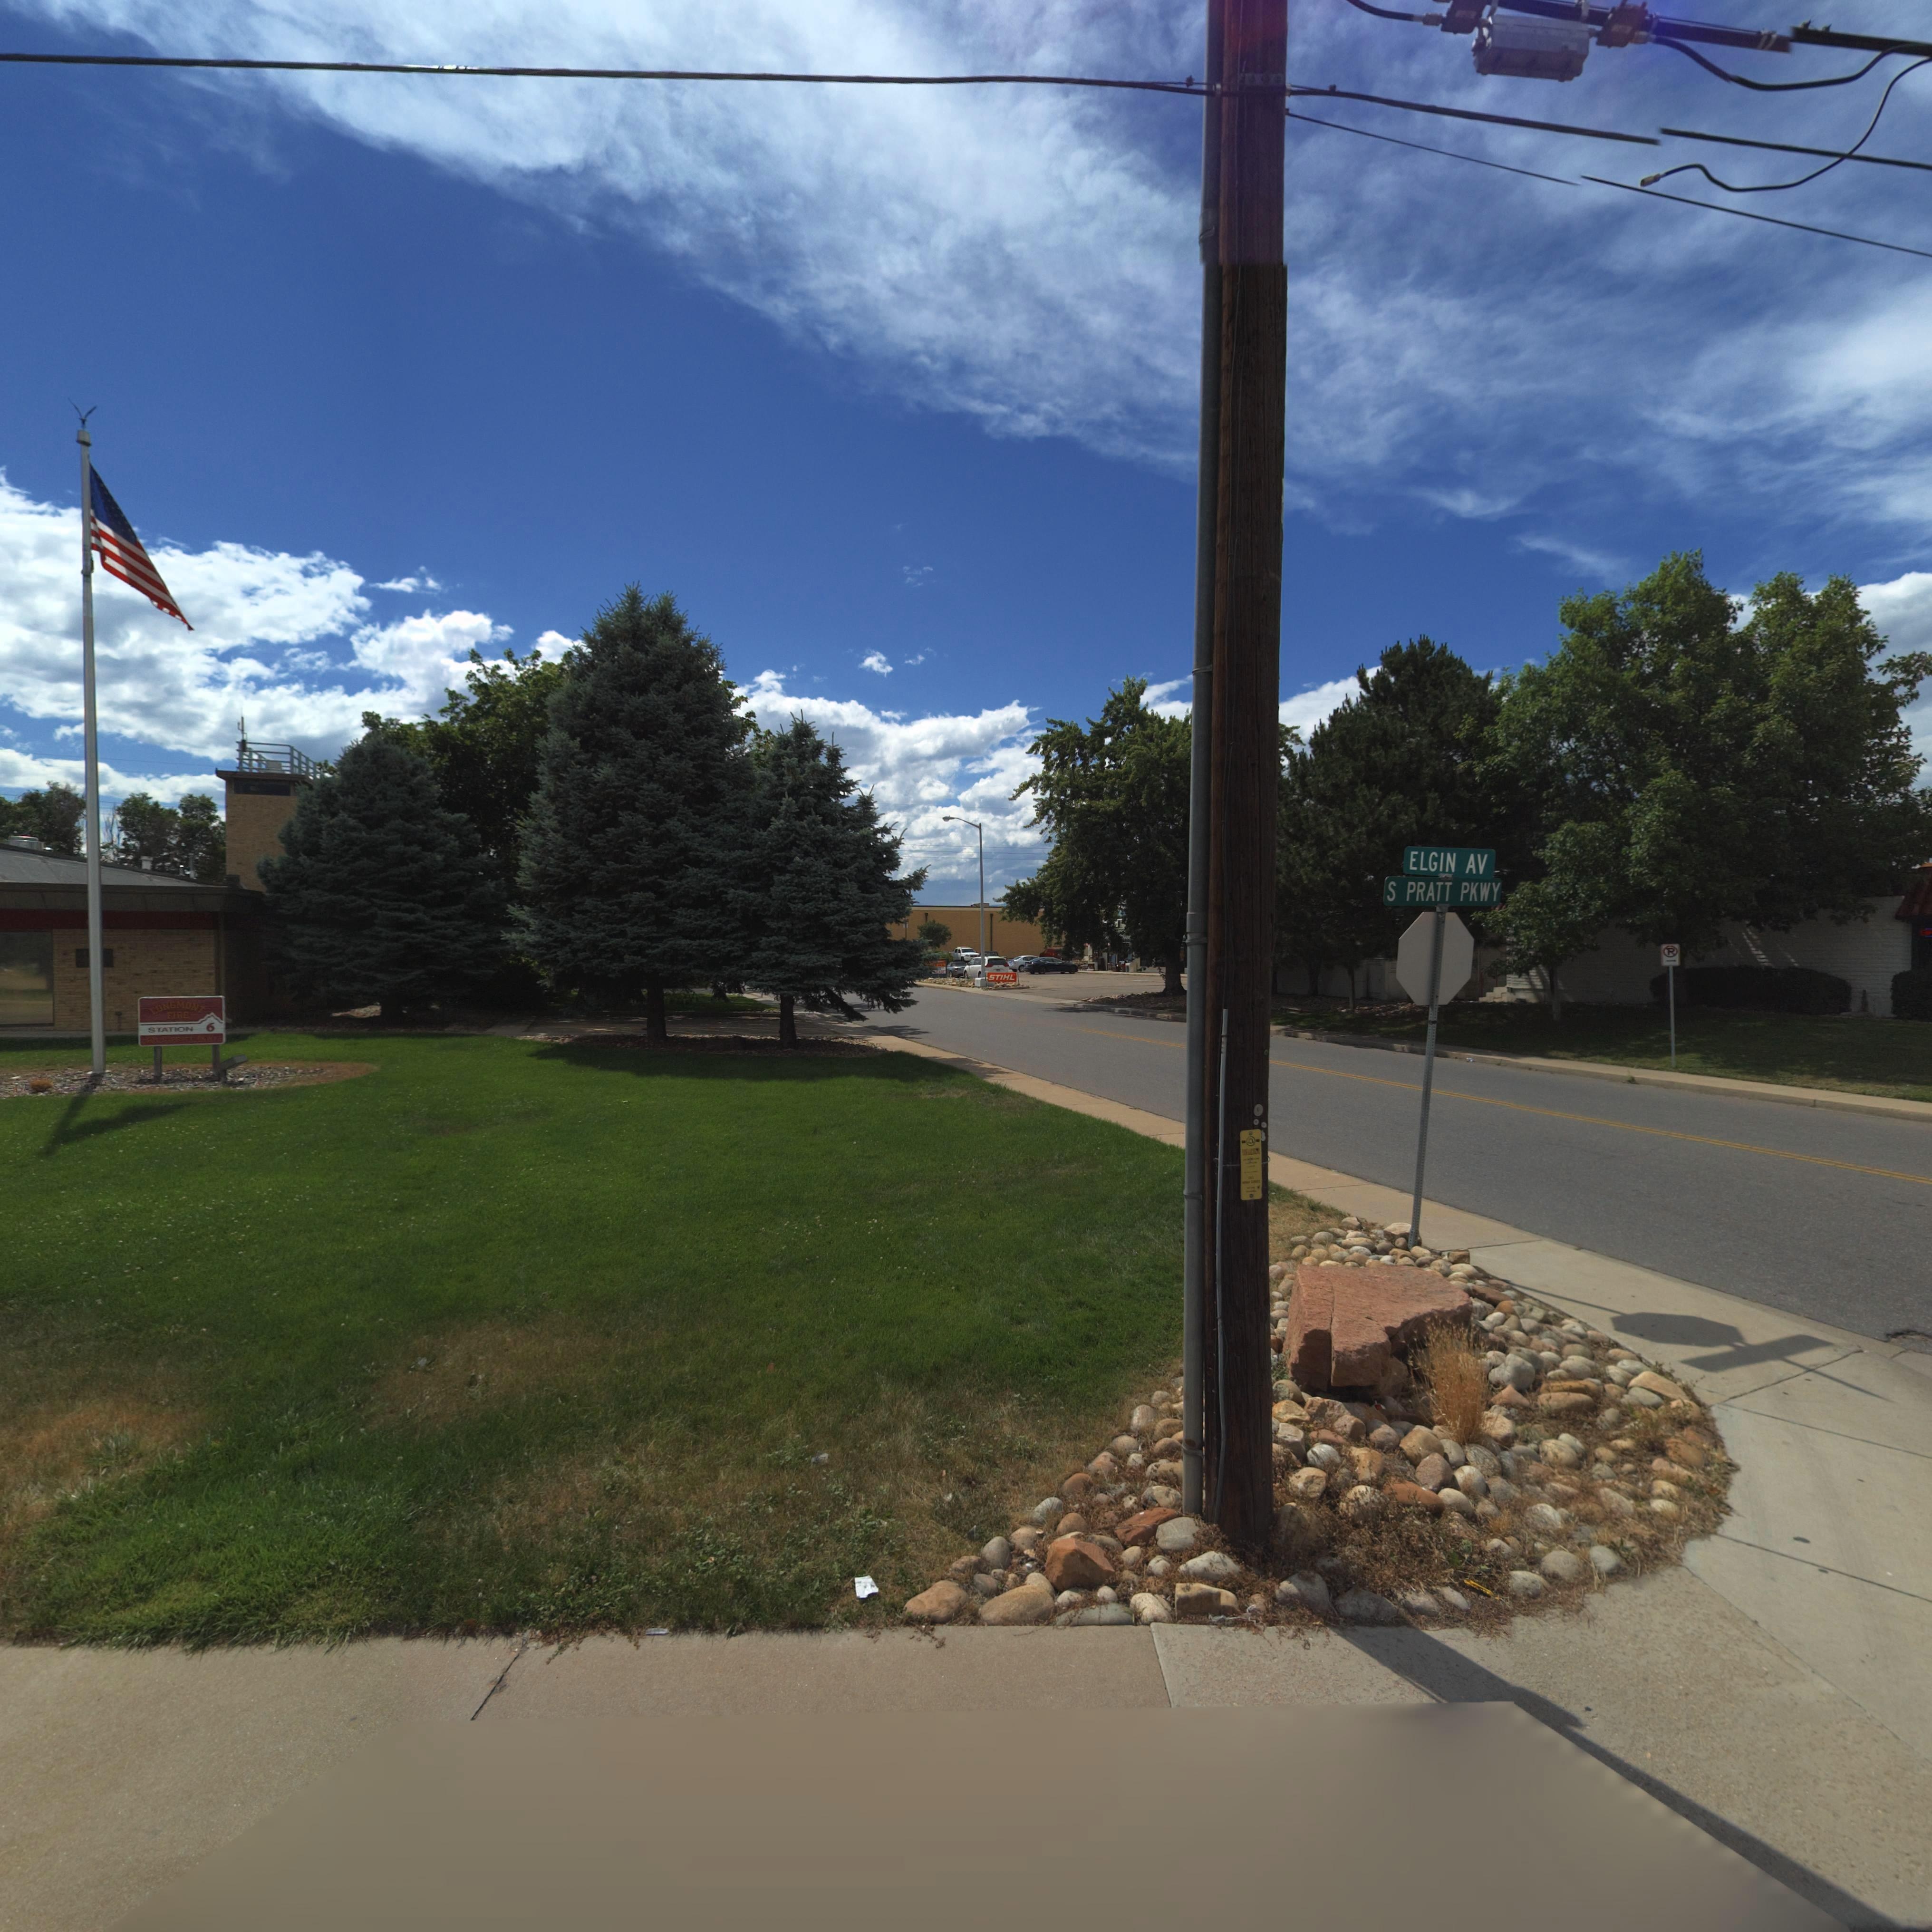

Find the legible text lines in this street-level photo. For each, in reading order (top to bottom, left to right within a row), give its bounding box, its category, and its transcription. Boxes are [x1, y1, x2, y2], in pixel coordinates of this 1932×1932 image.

[1409, 850, 1488, 875] StreetName: ELGIN AV
[1386, 880, 1501, 902] StreetName: S PRATT PKWY
[988, 974, 1015, 980] BusinessName: STIHL
[148, 1000, 206, 1015] BusinessName: LONGMONT
[166, 1011, 189, 1019] BusinessName: FIRE
[147, 1026, 193, 1033] BusinessName: STATION
[205, 1021, 215, 1032] BusinessName: 6
[146, 1036, 159, 1043] StreetNumber: 501
[161, 1035, 218, 1043] StreetName: S PRATT PKWY